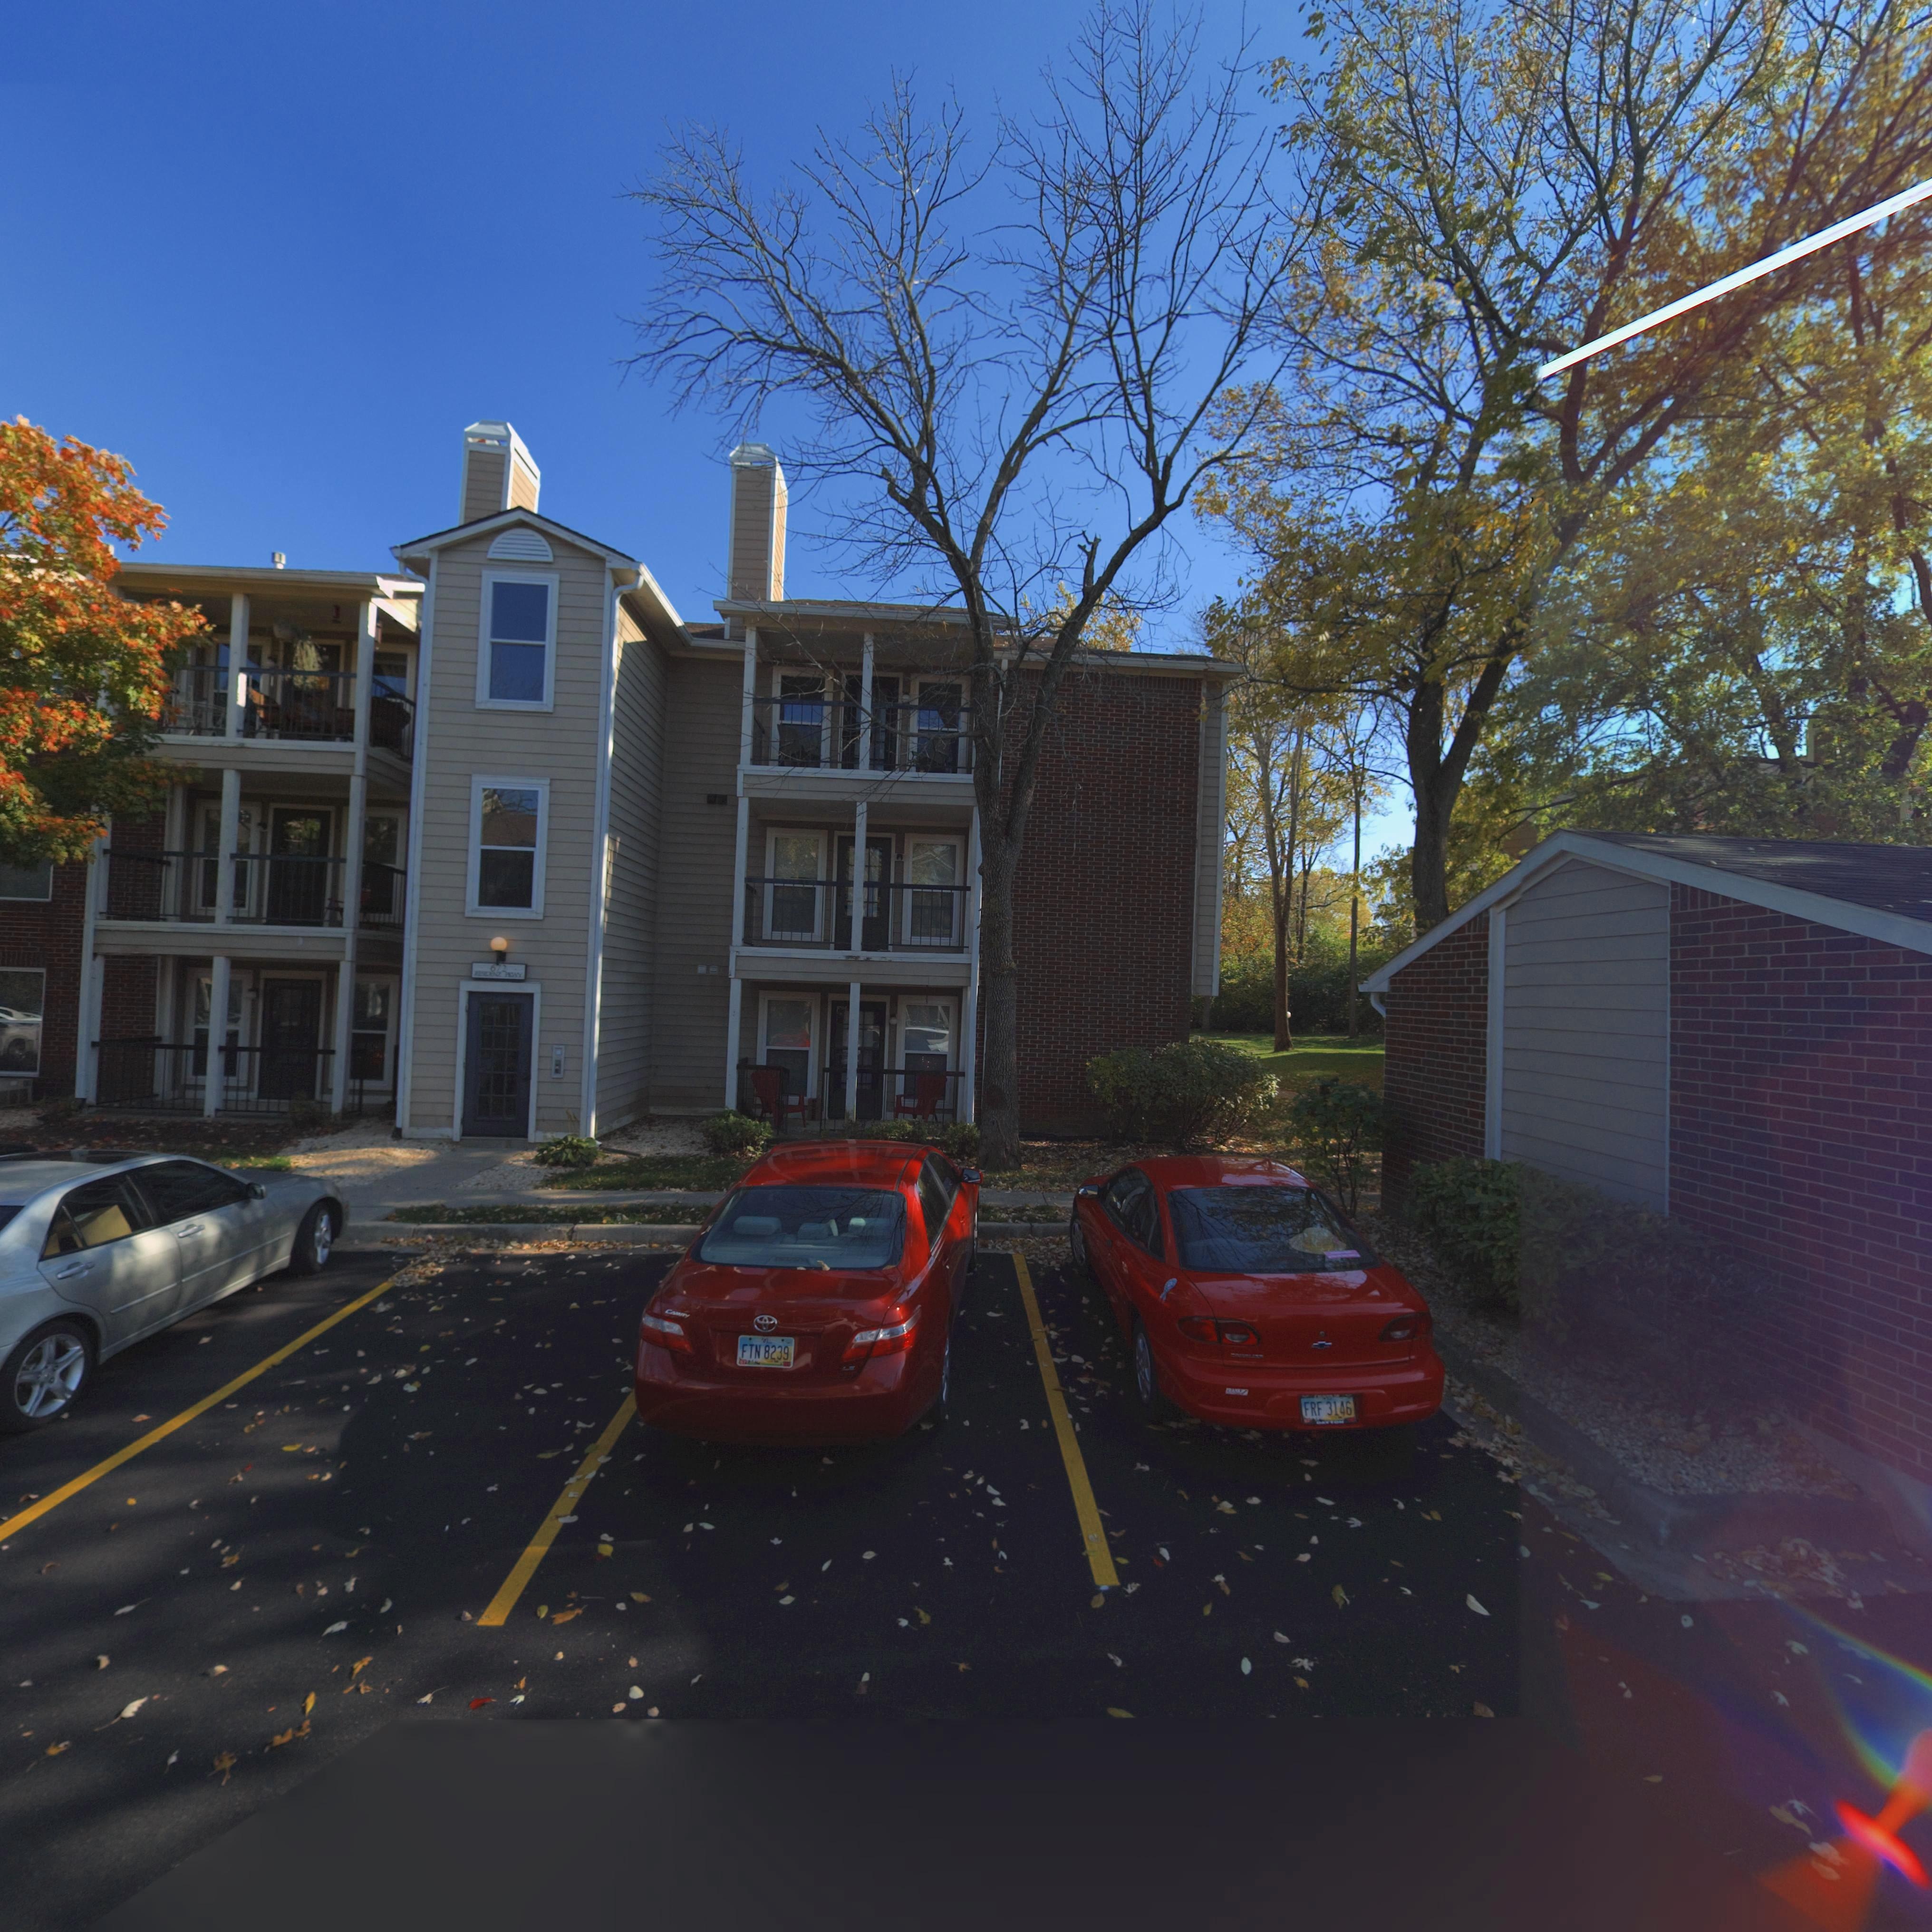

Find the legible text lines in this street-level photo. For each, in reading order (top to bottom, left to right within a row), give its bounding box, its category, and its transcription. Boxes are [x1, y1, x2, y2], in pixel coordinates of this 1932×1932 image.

[489, 962, 508, 973] StreetNumber: 6*2
[740, 1343, 790, 1361] None: FTN 8239
[1303, 1400, 1353, 1418] None: FRF 3146